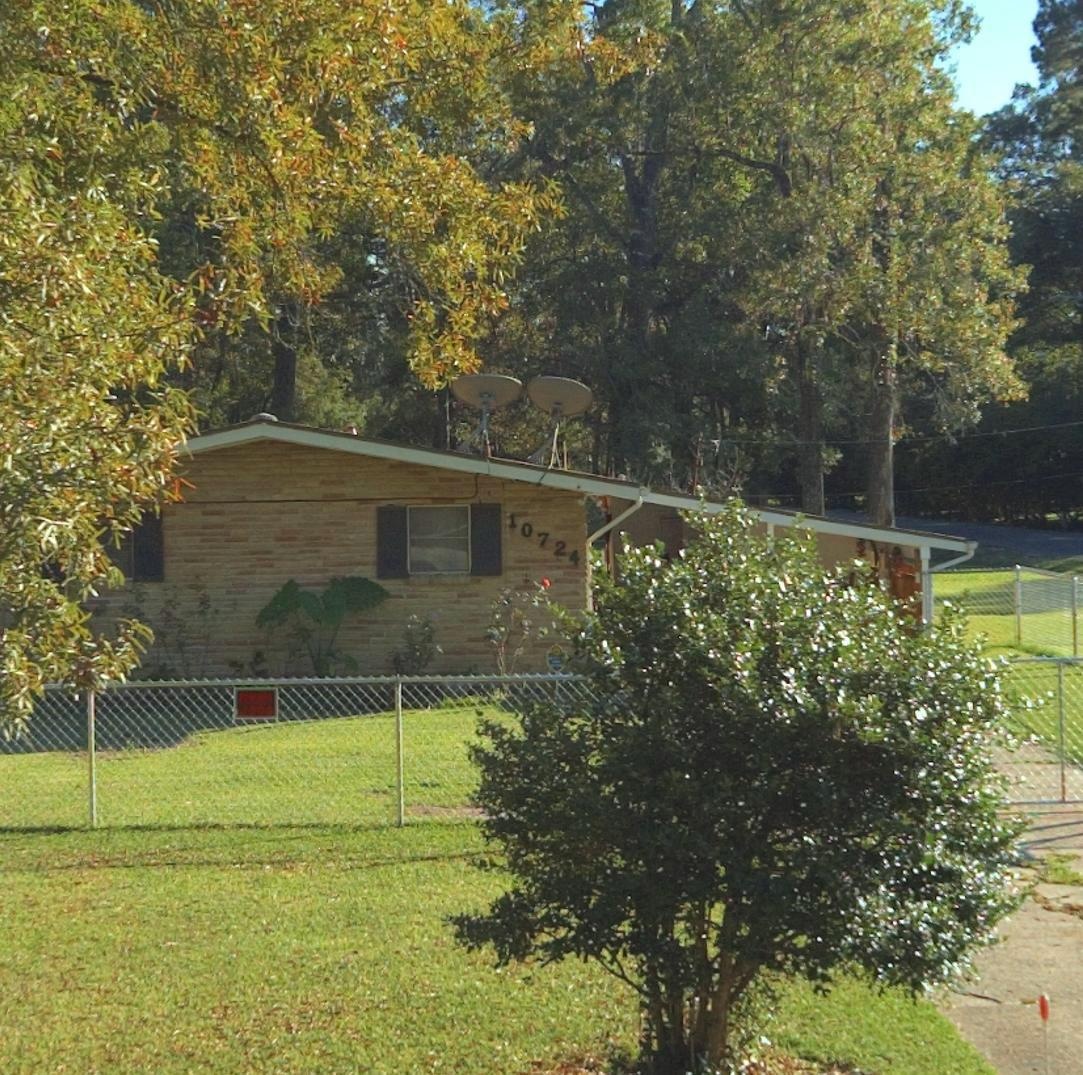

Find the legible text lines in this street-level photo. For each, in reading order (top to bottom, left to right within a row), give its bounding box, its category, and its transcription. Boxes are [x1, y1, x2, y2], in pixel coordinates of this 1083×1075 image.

[508, 510, 581, 568] StreetNumber: 10724
[246, 704, 275, 716] None: DOG